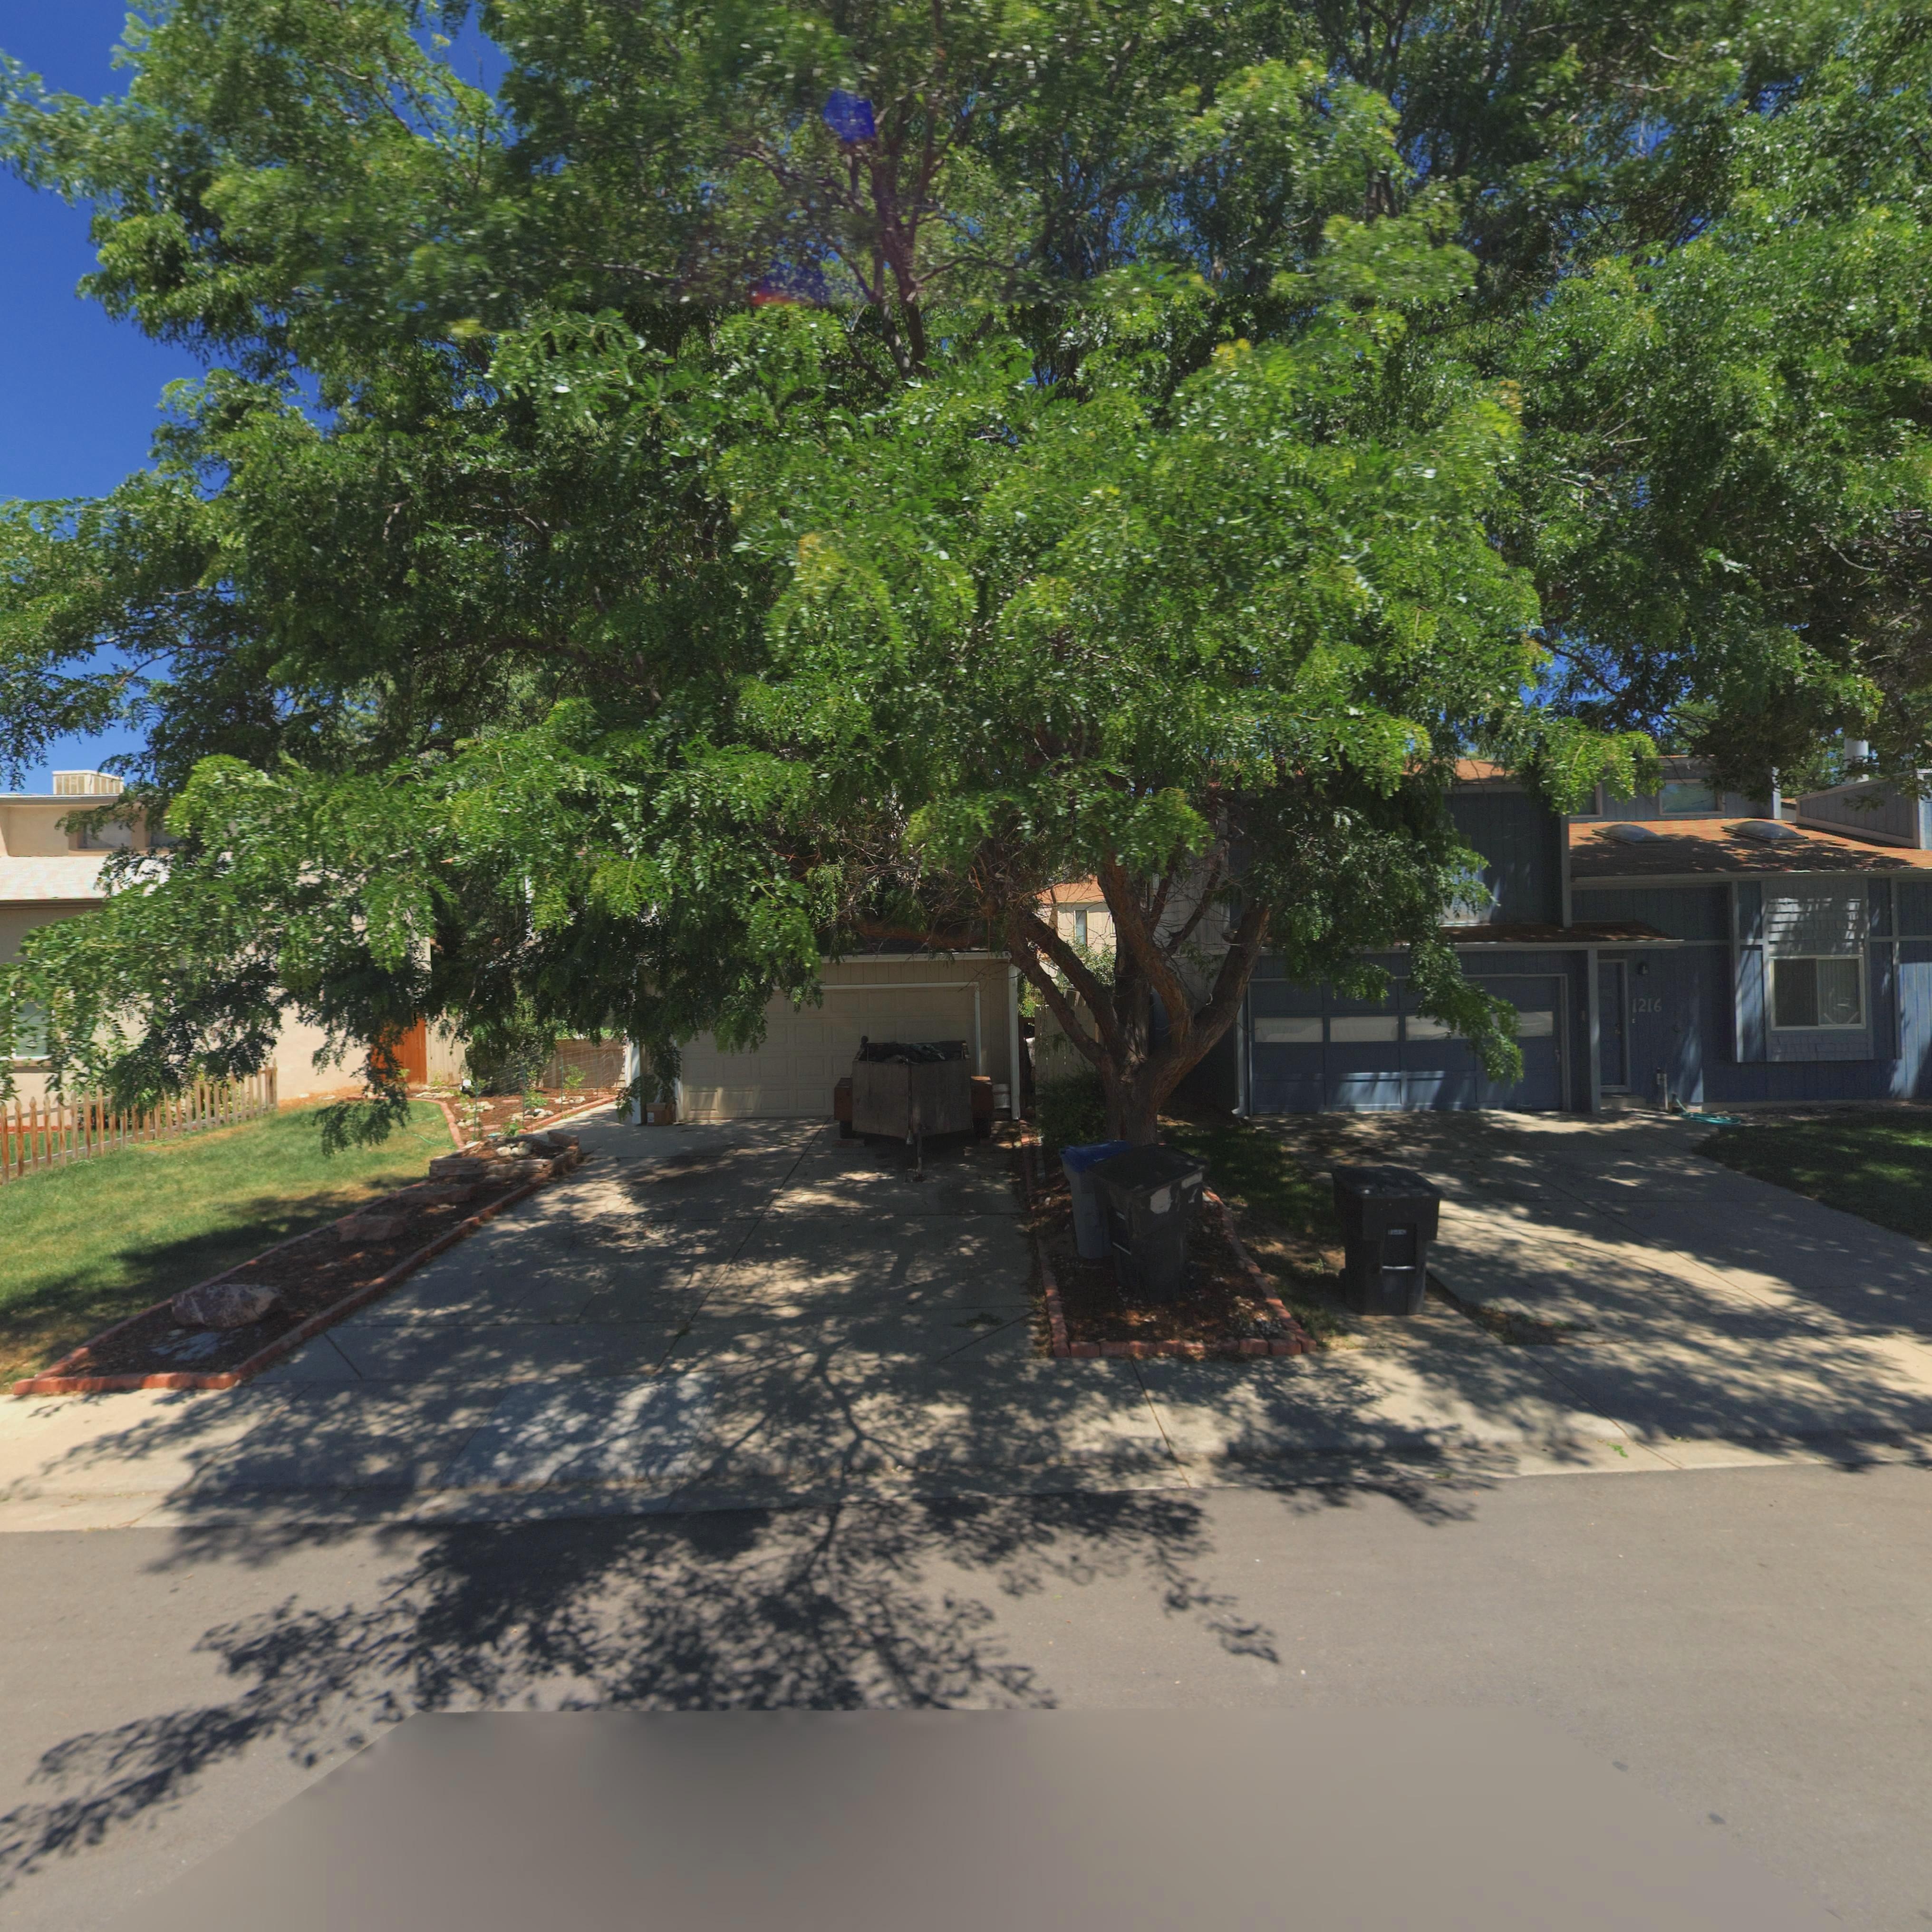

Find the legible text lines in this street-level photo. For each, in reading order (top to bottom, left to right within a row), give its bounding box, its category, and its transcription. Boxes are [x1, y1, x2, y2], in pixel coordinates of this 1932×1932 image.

[1631, 998, 1662, 1014] StreetNumber: 1216